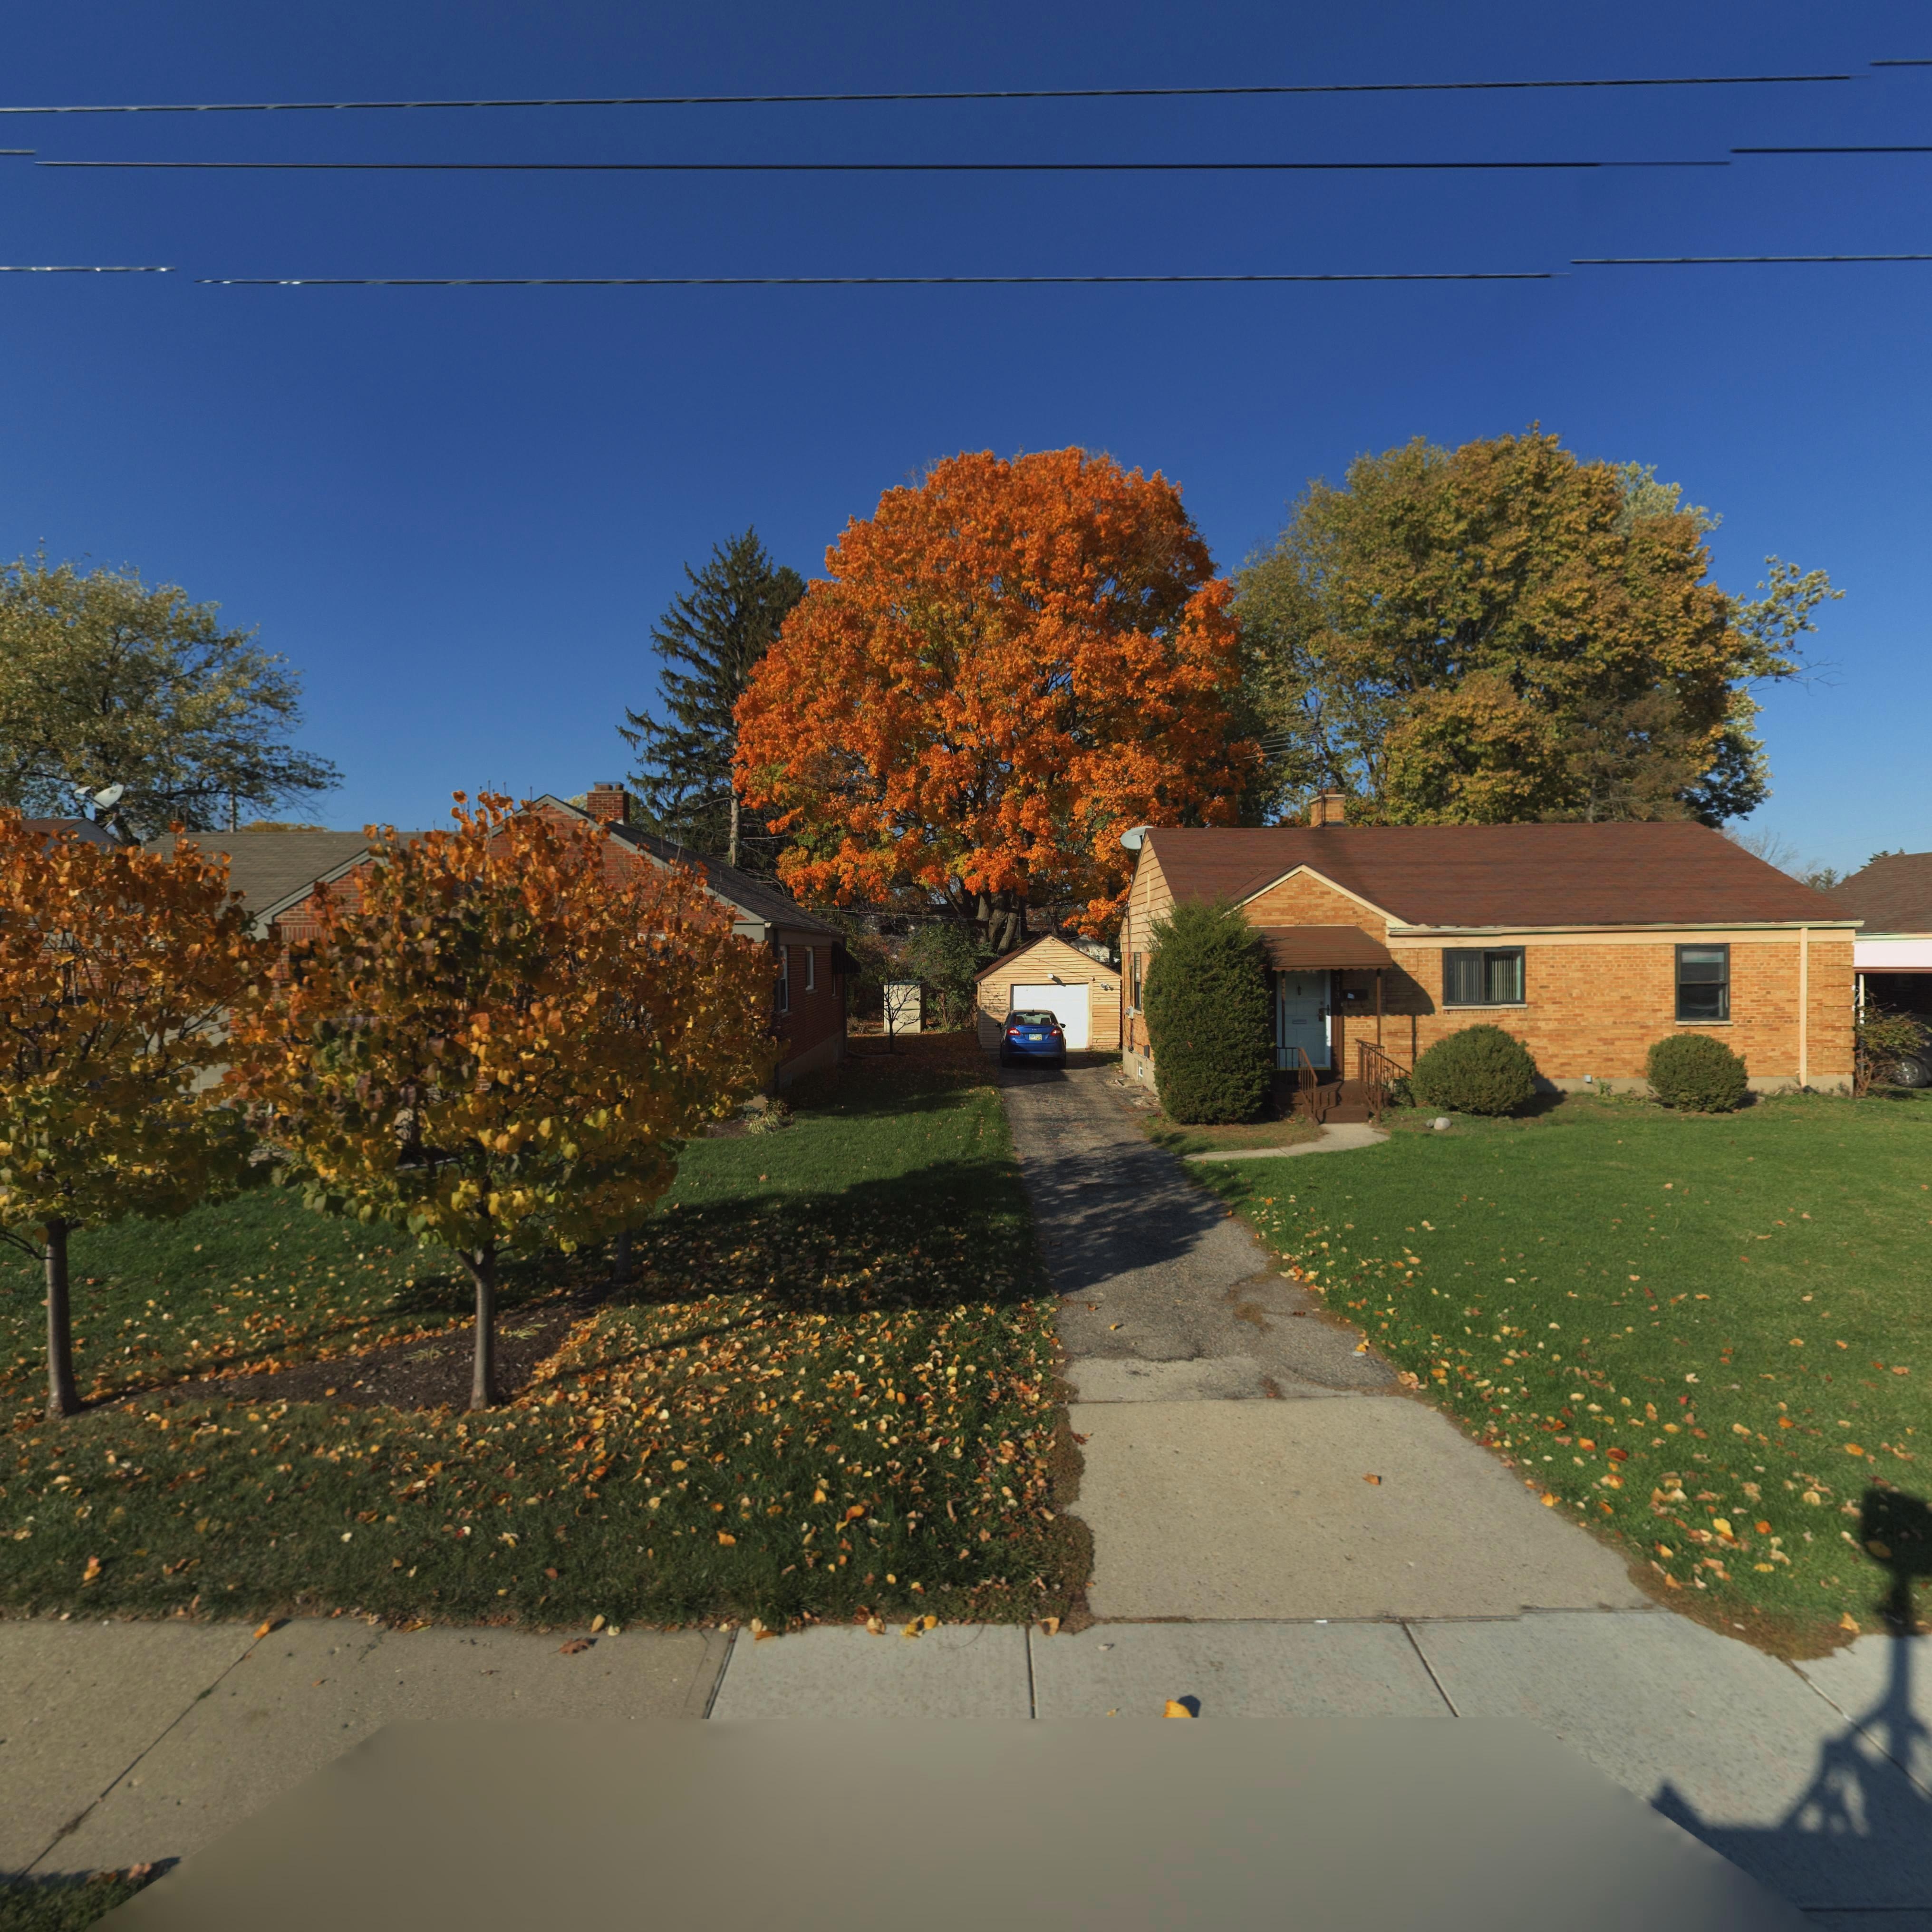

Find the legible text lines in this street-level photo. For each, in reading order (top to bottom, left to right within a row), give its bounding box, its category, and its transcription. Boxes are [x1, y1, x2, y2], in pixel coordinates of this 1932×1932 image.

[1333, 974, 1342, 1000] StreetNumber: 313